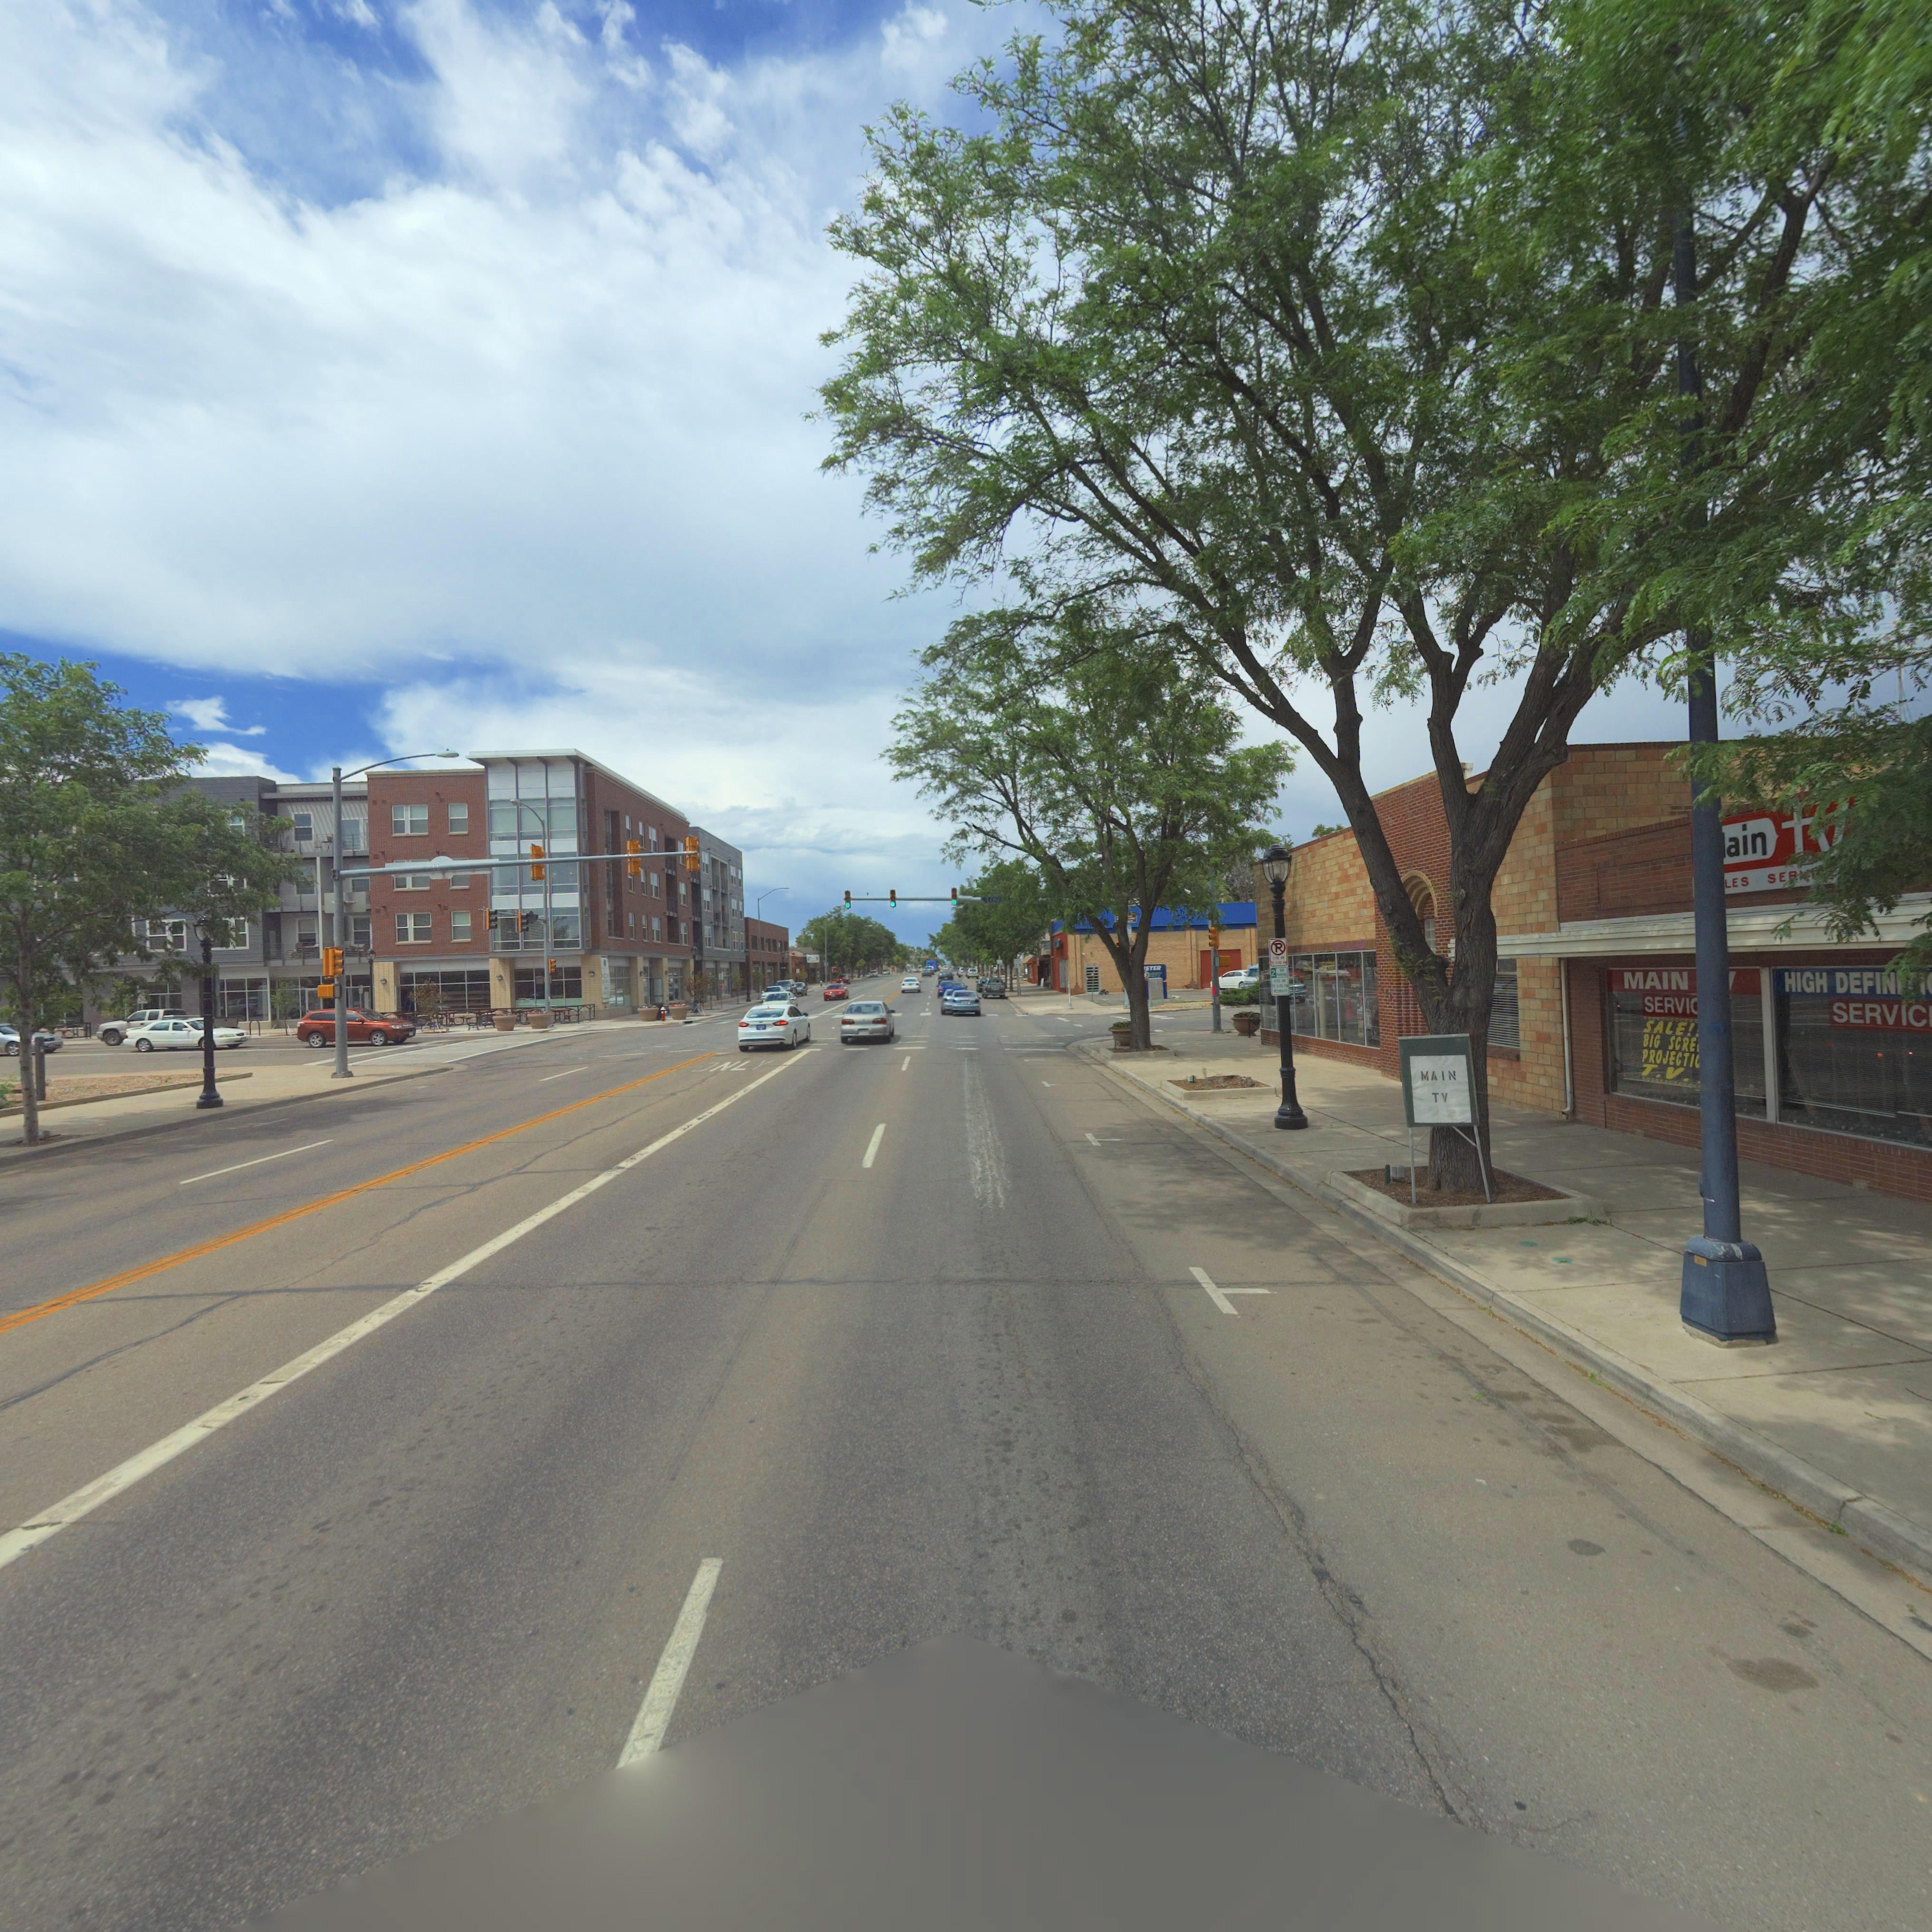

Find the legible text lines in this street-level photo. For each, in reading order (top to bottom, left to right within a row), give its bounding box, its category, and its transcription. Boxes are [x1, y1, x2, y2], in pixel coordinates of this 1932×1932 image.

[1780, 806, 1816, 861] BusinessName: t
[1726, 822, 1768, 859] BusinessName: ain
[985, 897, 998, 903] StreetName: LON
[1145, 965, 1161, 971] BusinessName: ster
[1149, 971, 1162, 978] BusinessName: ney
[1623, 971, 1689, 991] BusinessName: MAIN
[1420, 1070, 1457, 1081] BusinessName: MAIN
[1430, 1092, 1448, 1103] BusinessName: TV